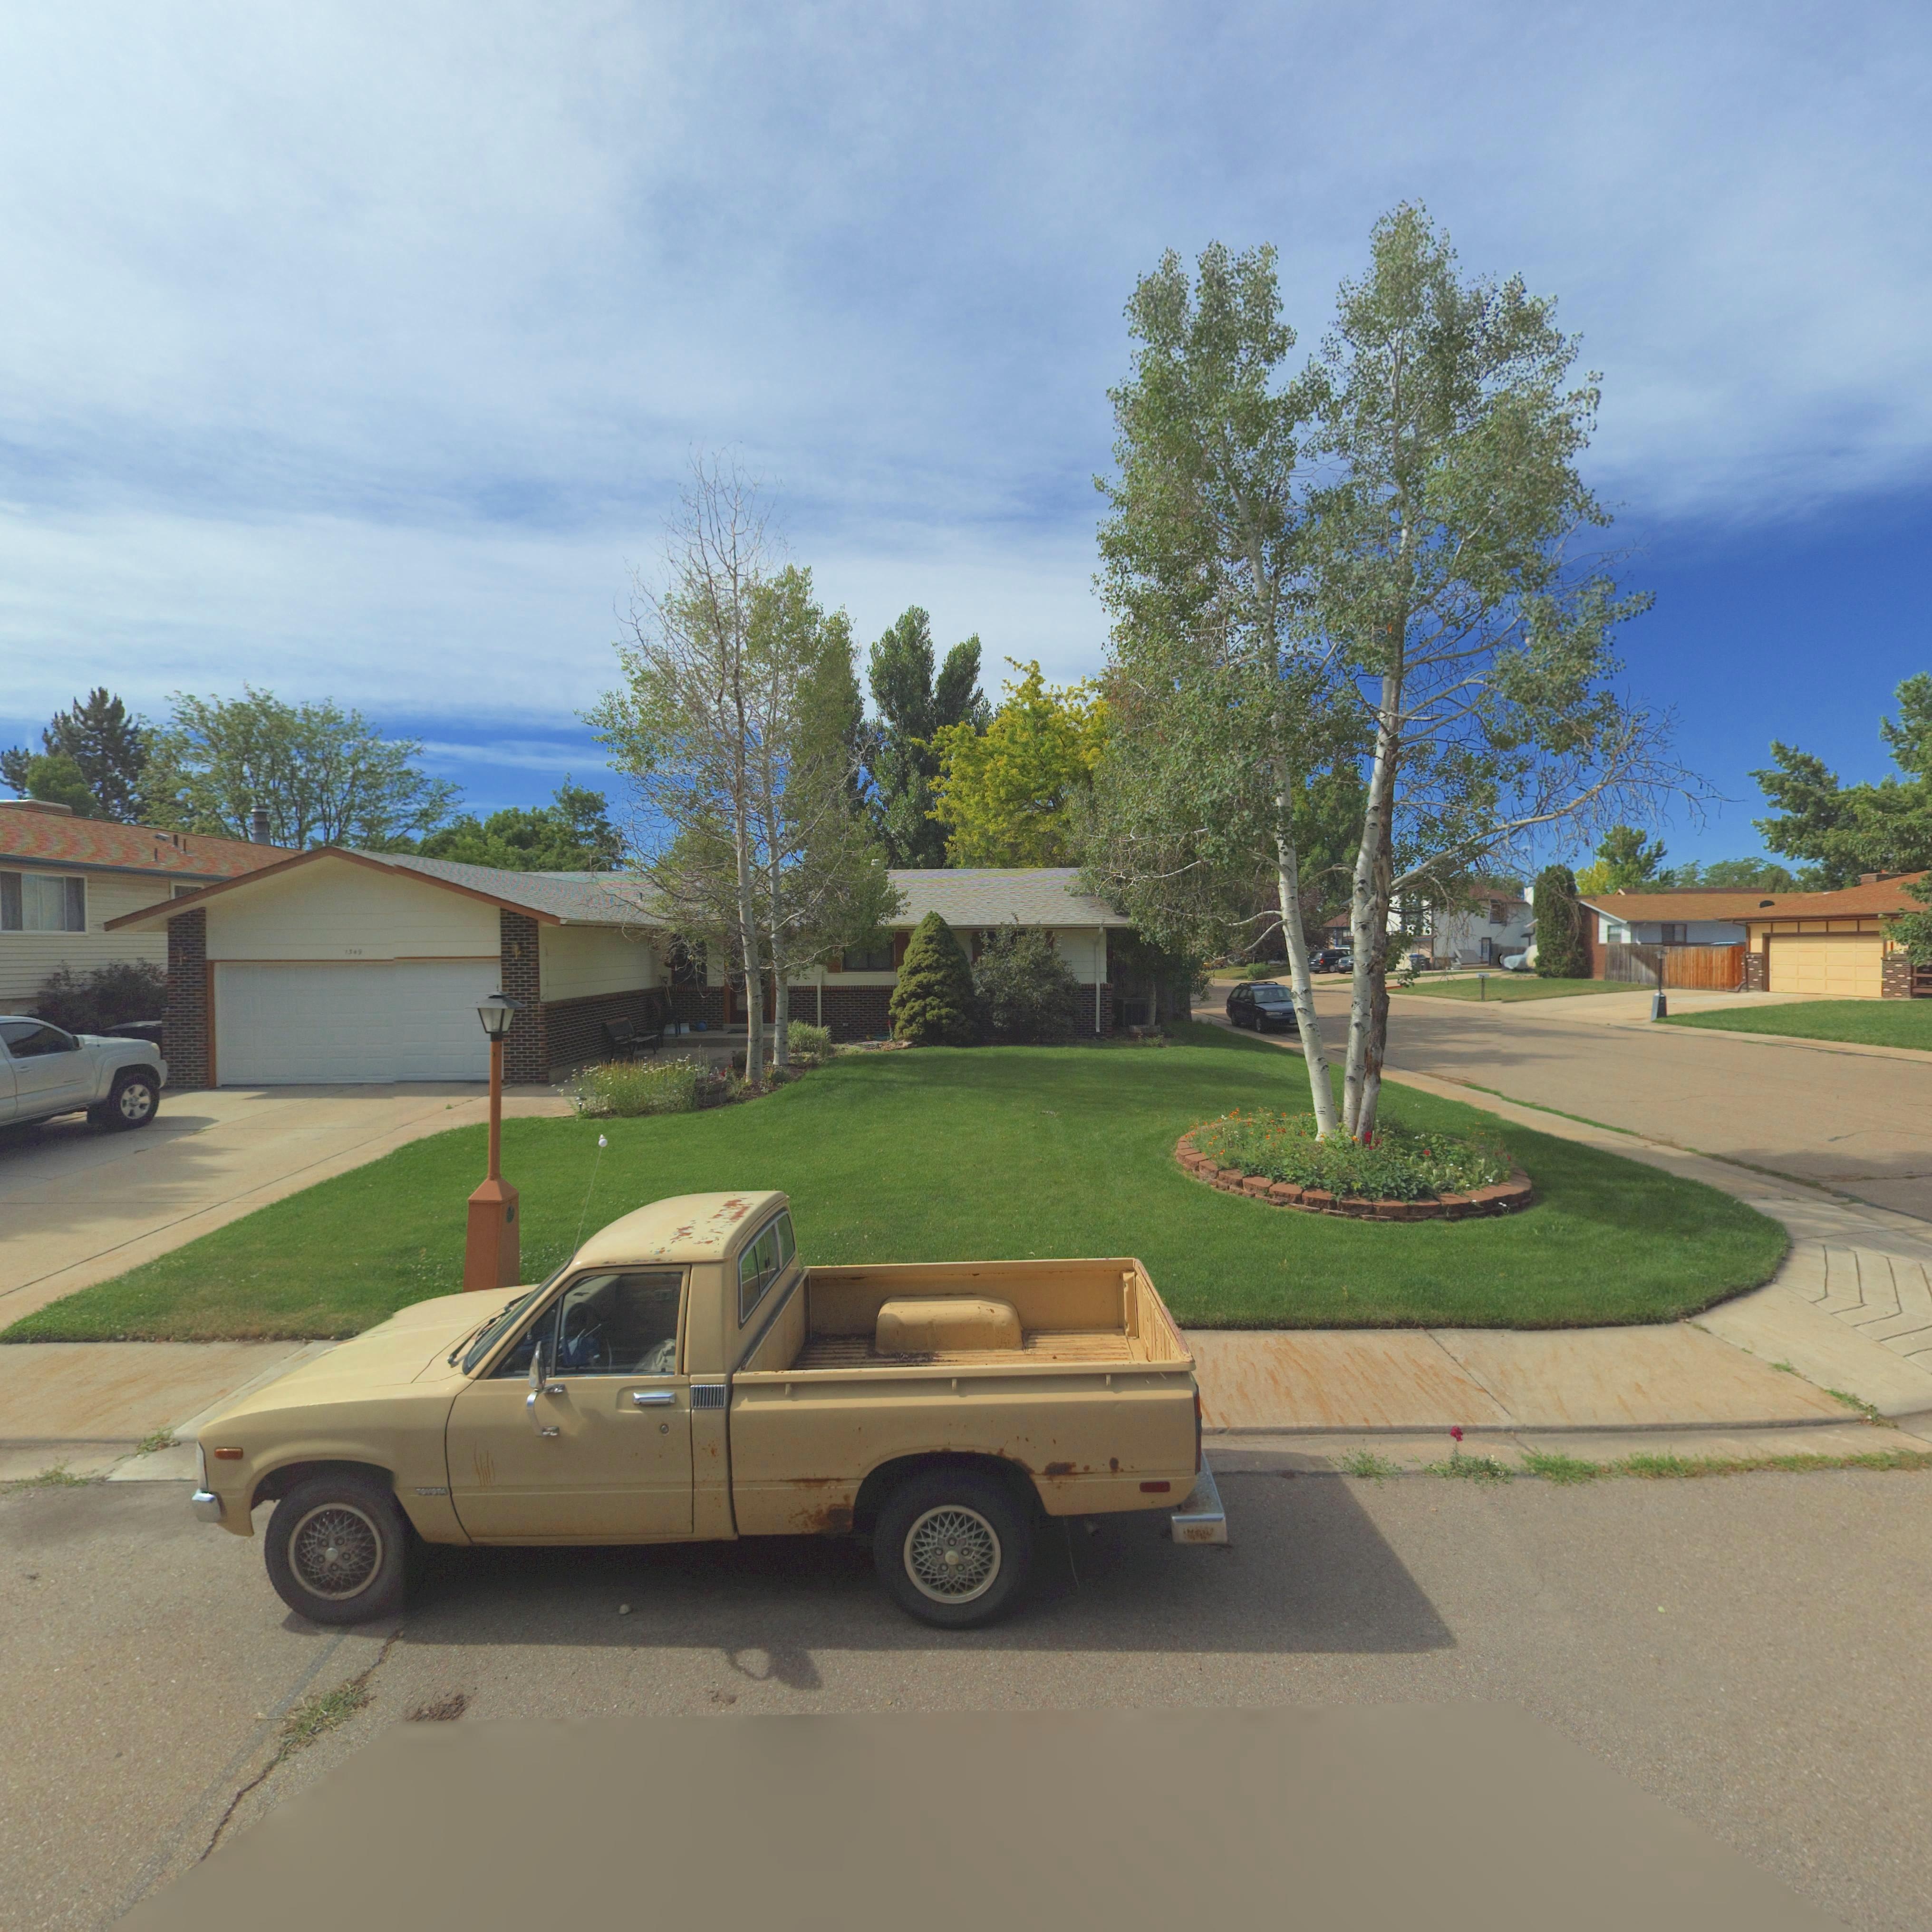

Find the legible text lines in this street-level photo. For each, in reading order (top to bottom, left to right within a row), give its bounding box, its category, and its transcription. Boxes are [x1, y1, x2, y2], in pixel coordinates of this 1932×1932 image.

[343, 948, 362, 956] StreetNumber: 1349